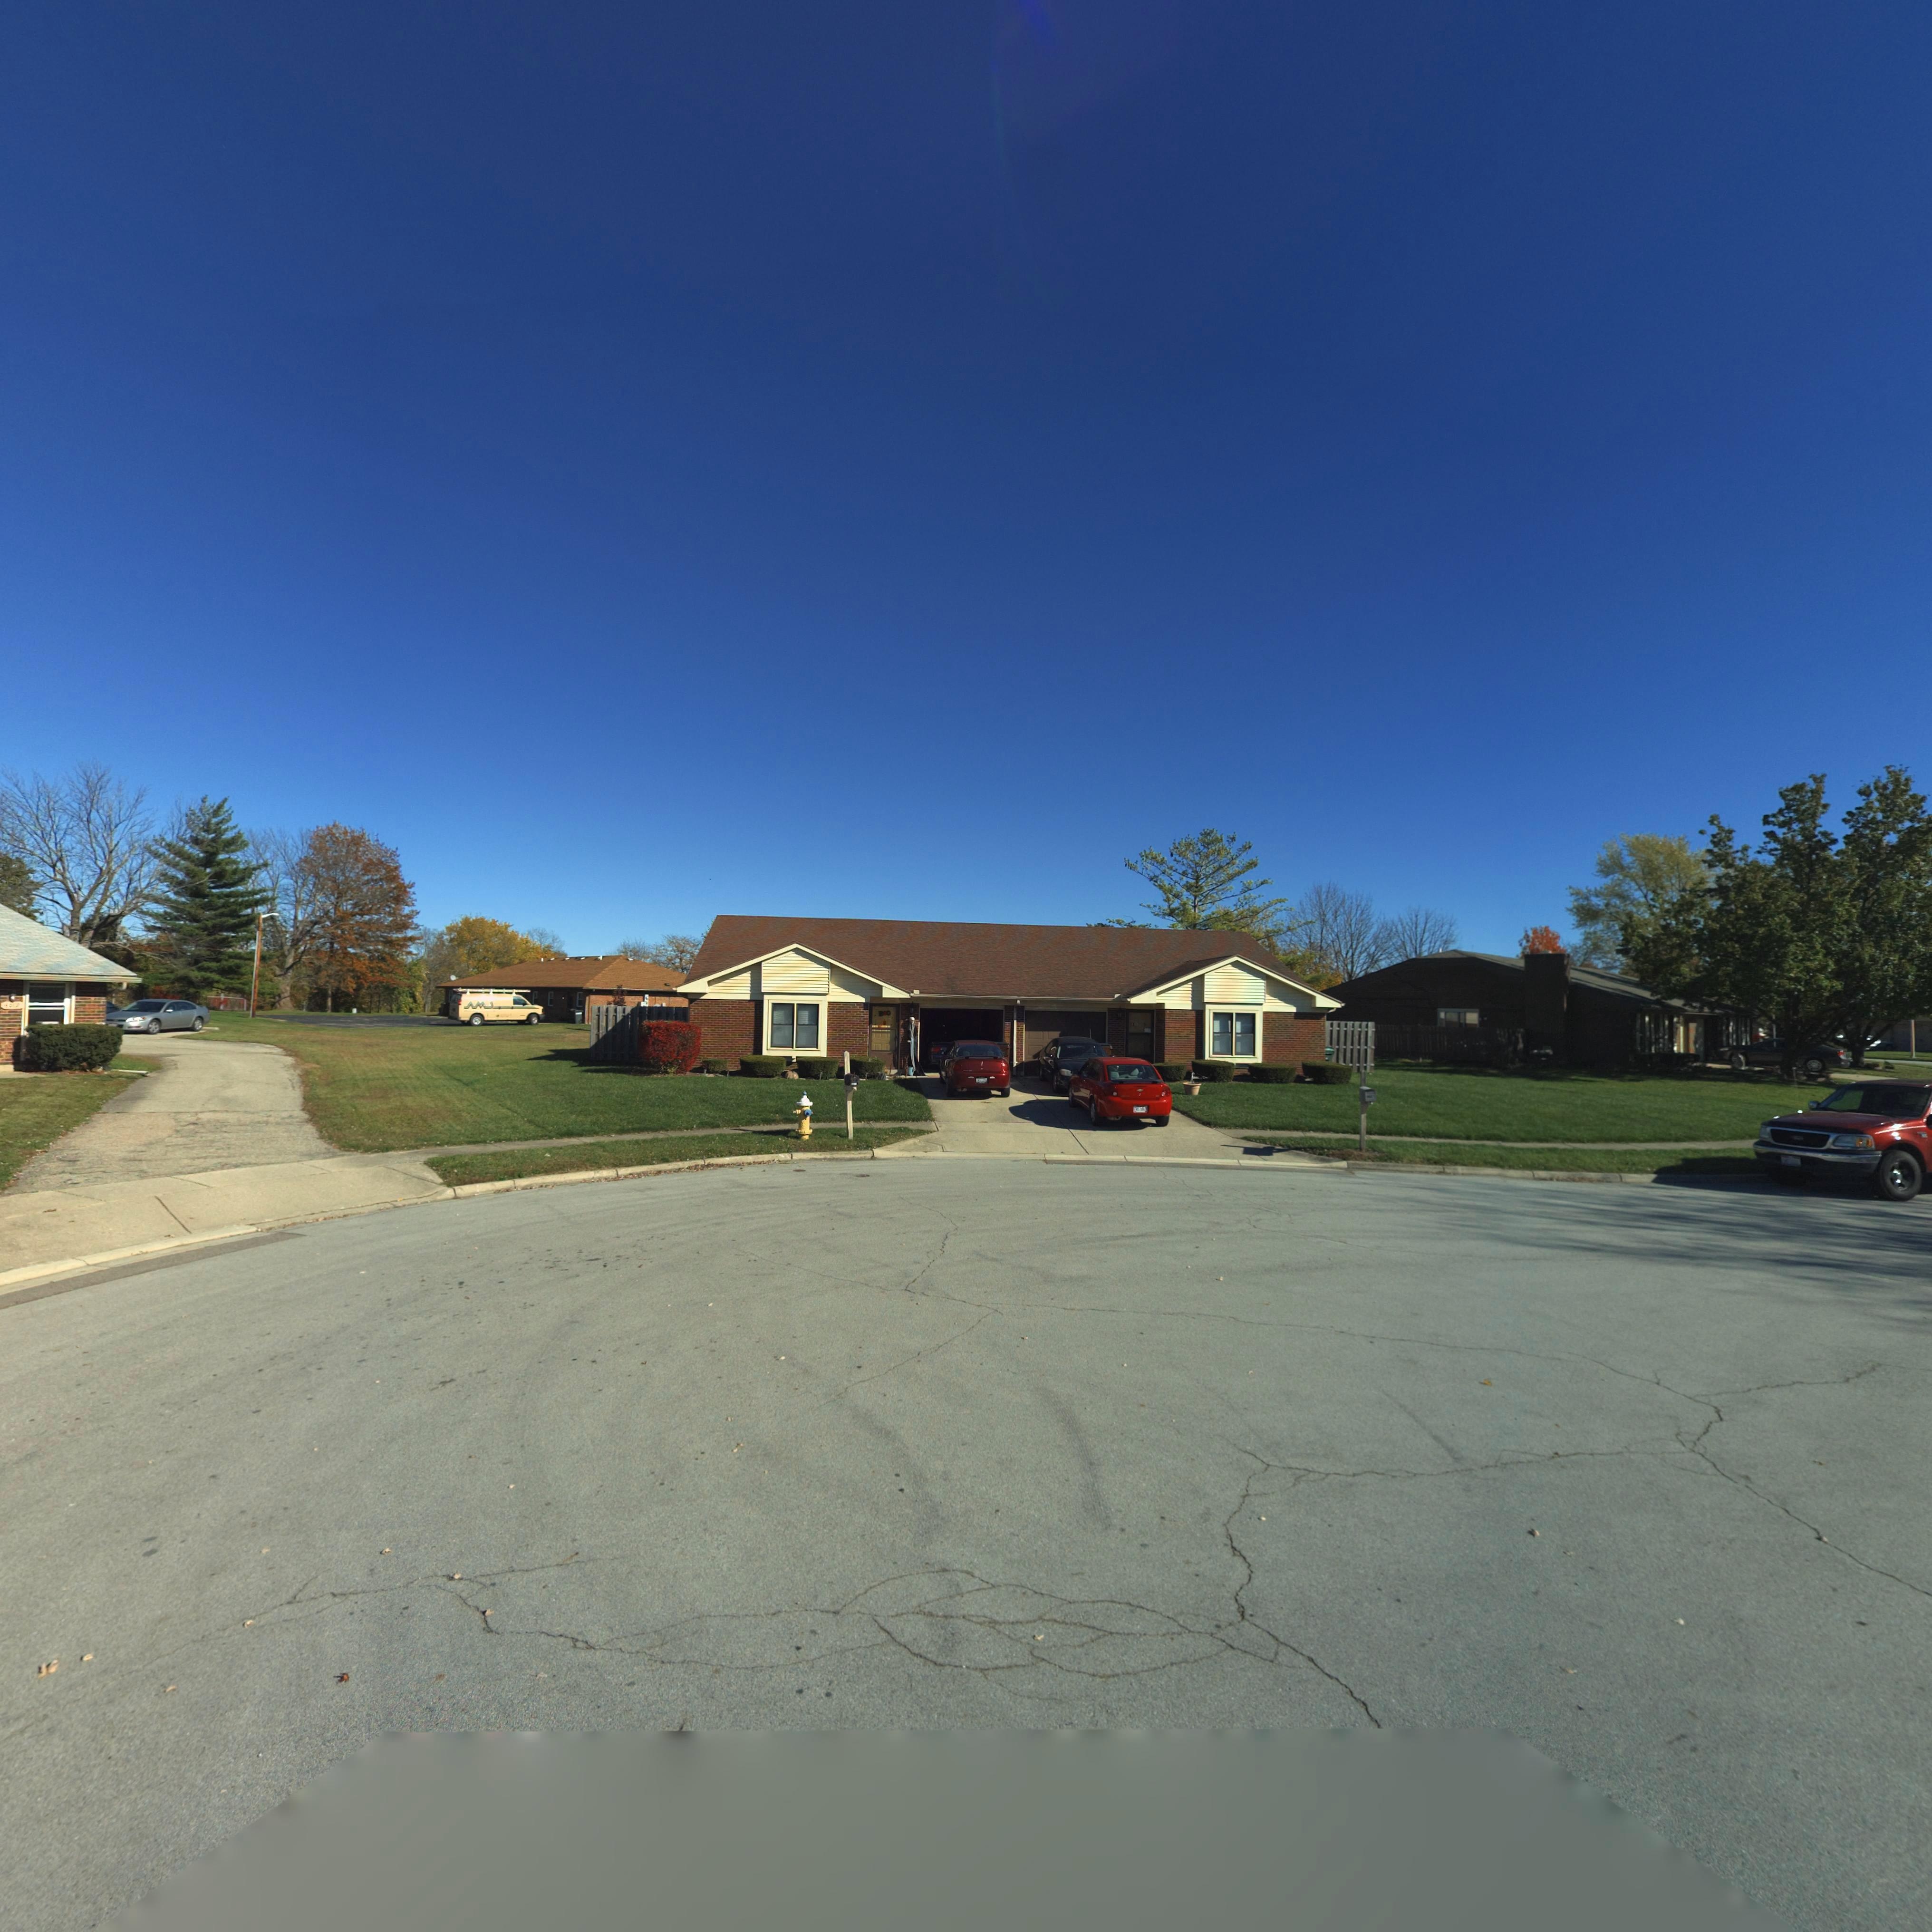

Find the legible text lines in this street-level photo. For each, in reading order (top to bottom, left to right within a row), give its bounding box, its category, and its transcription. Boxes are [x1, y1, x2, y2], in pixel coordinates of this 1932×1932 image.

[4, 1003, 20, 1008] StreetNumber: 40*9